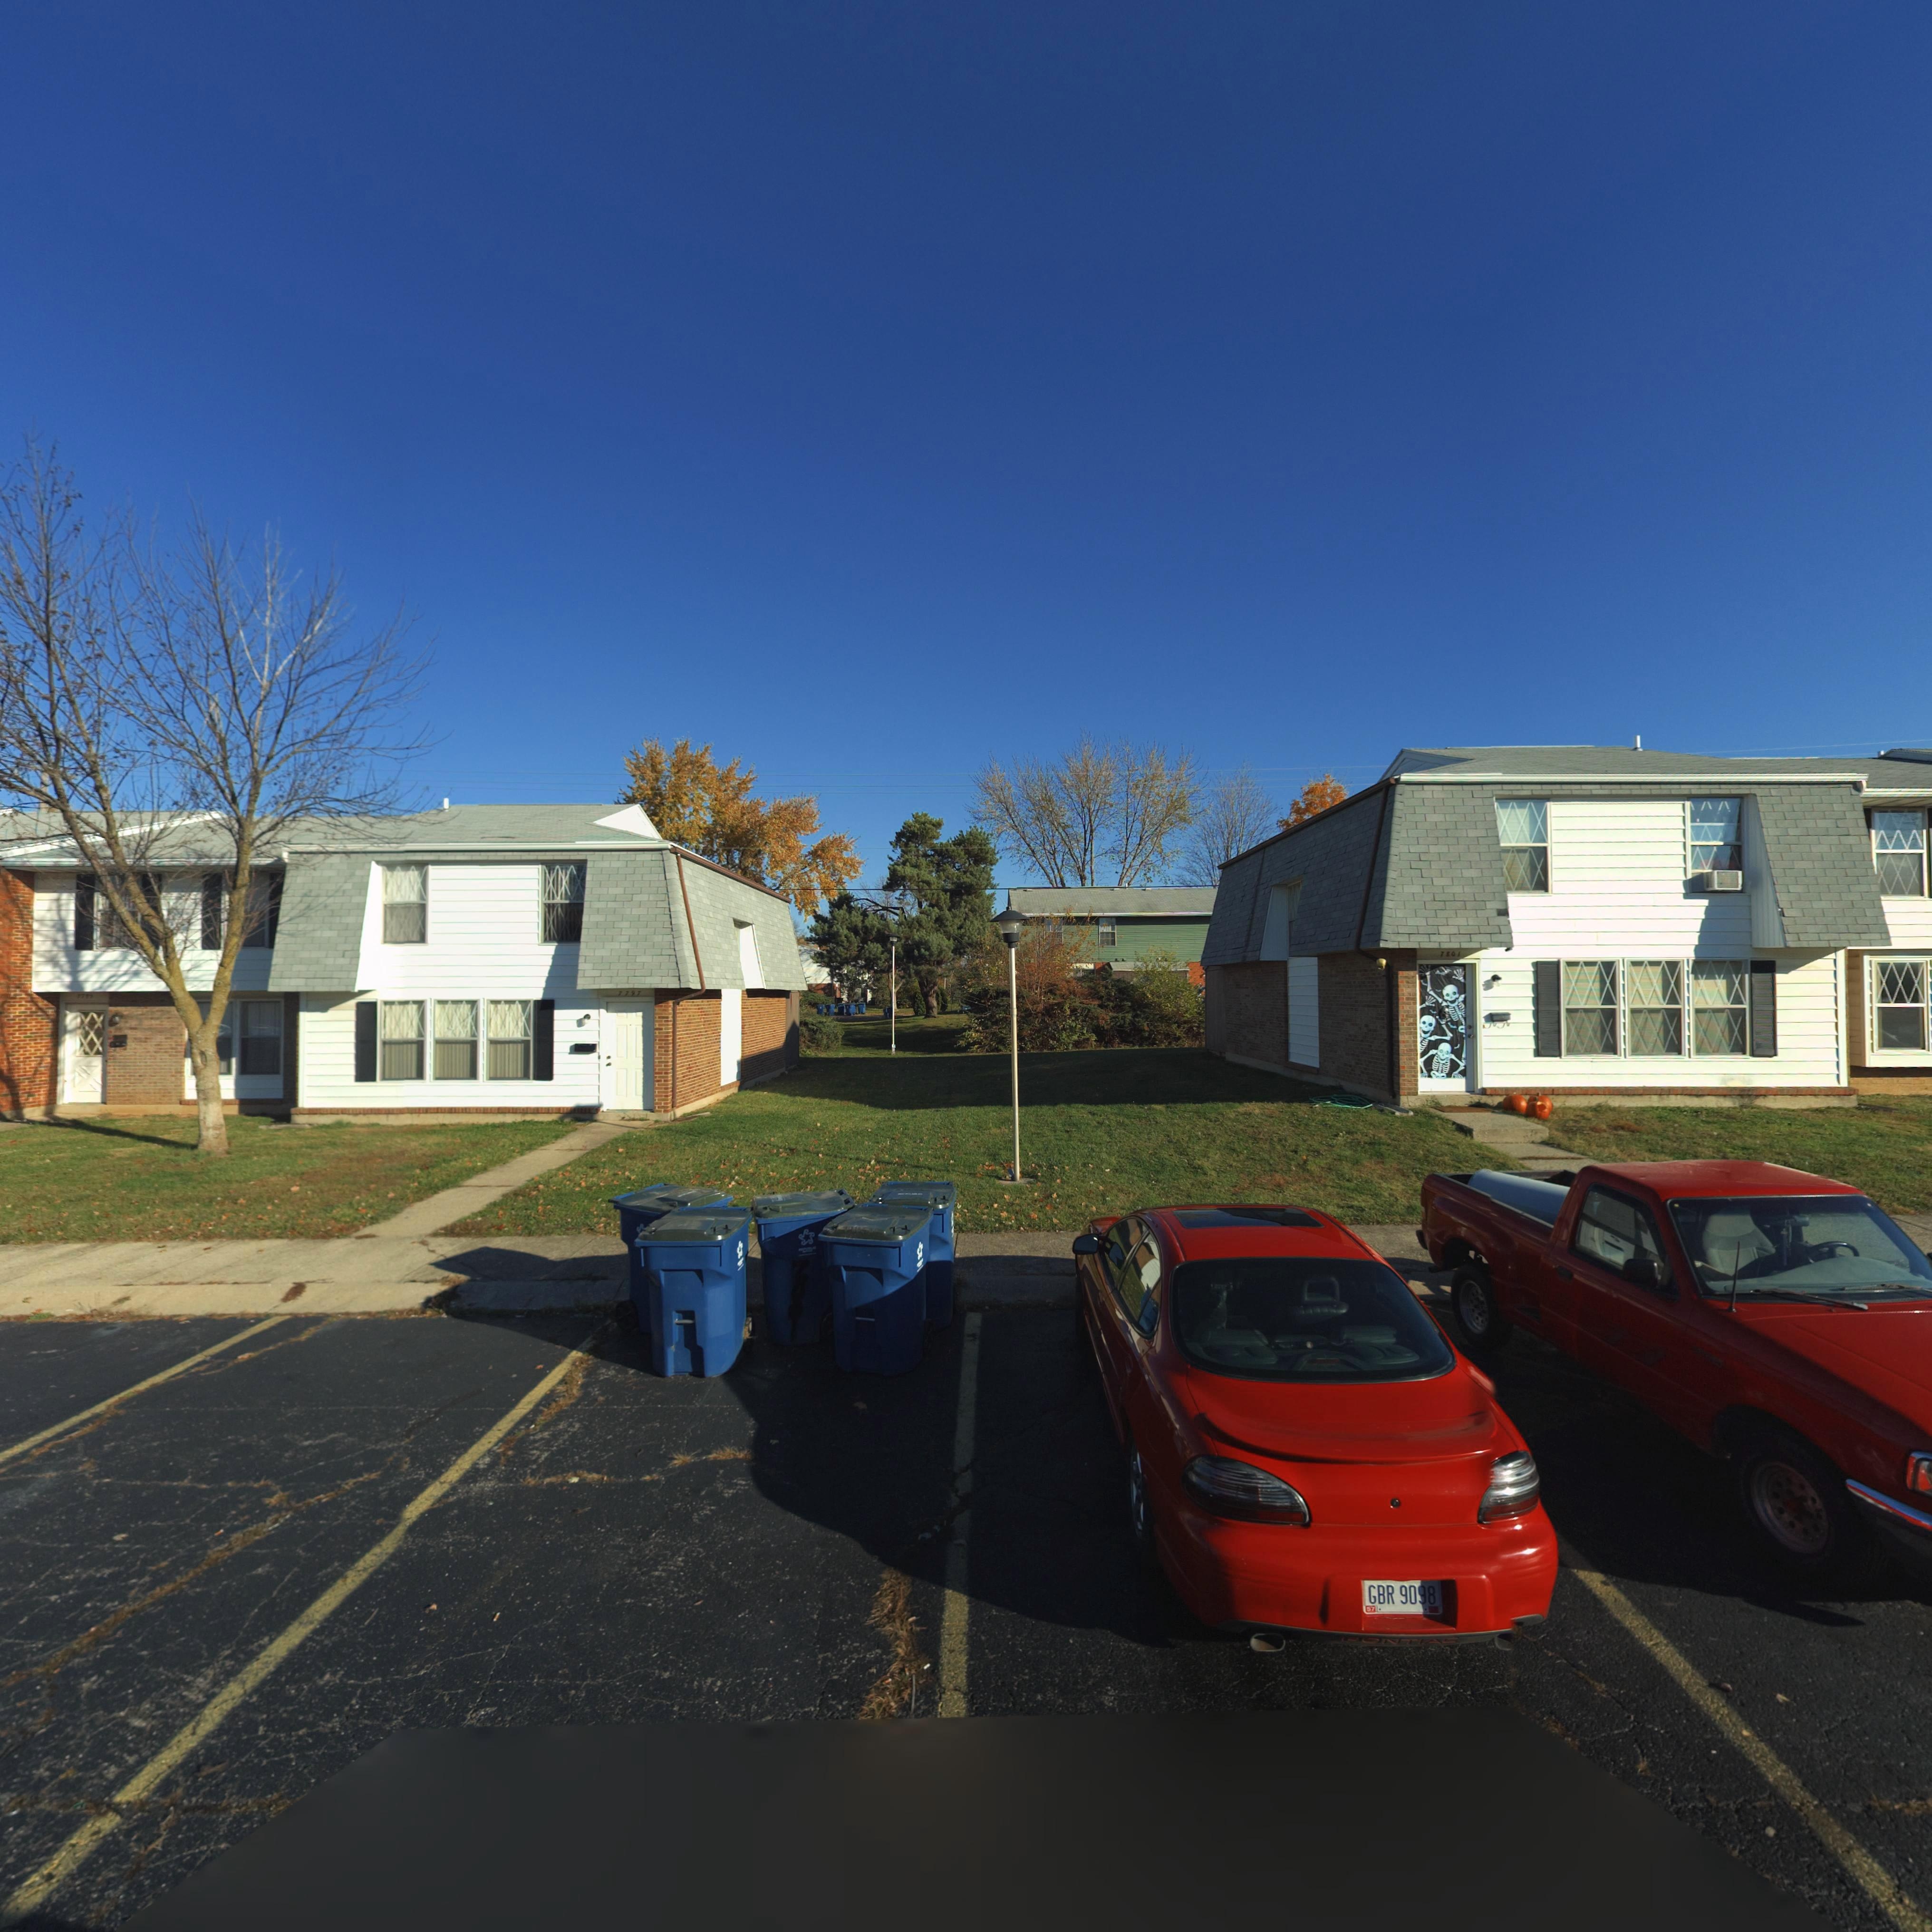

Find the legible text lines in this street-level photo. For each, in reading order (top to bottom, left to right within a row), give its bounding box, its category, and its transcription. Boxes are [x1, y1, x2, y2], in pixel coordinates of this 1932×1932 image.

[1440, 951, 1461, 957] StreetNumber: 7801
[76, 993, 95, 999] StreetNumber: 7795
[616, 990, 642, 996] StreetNumber: 7797